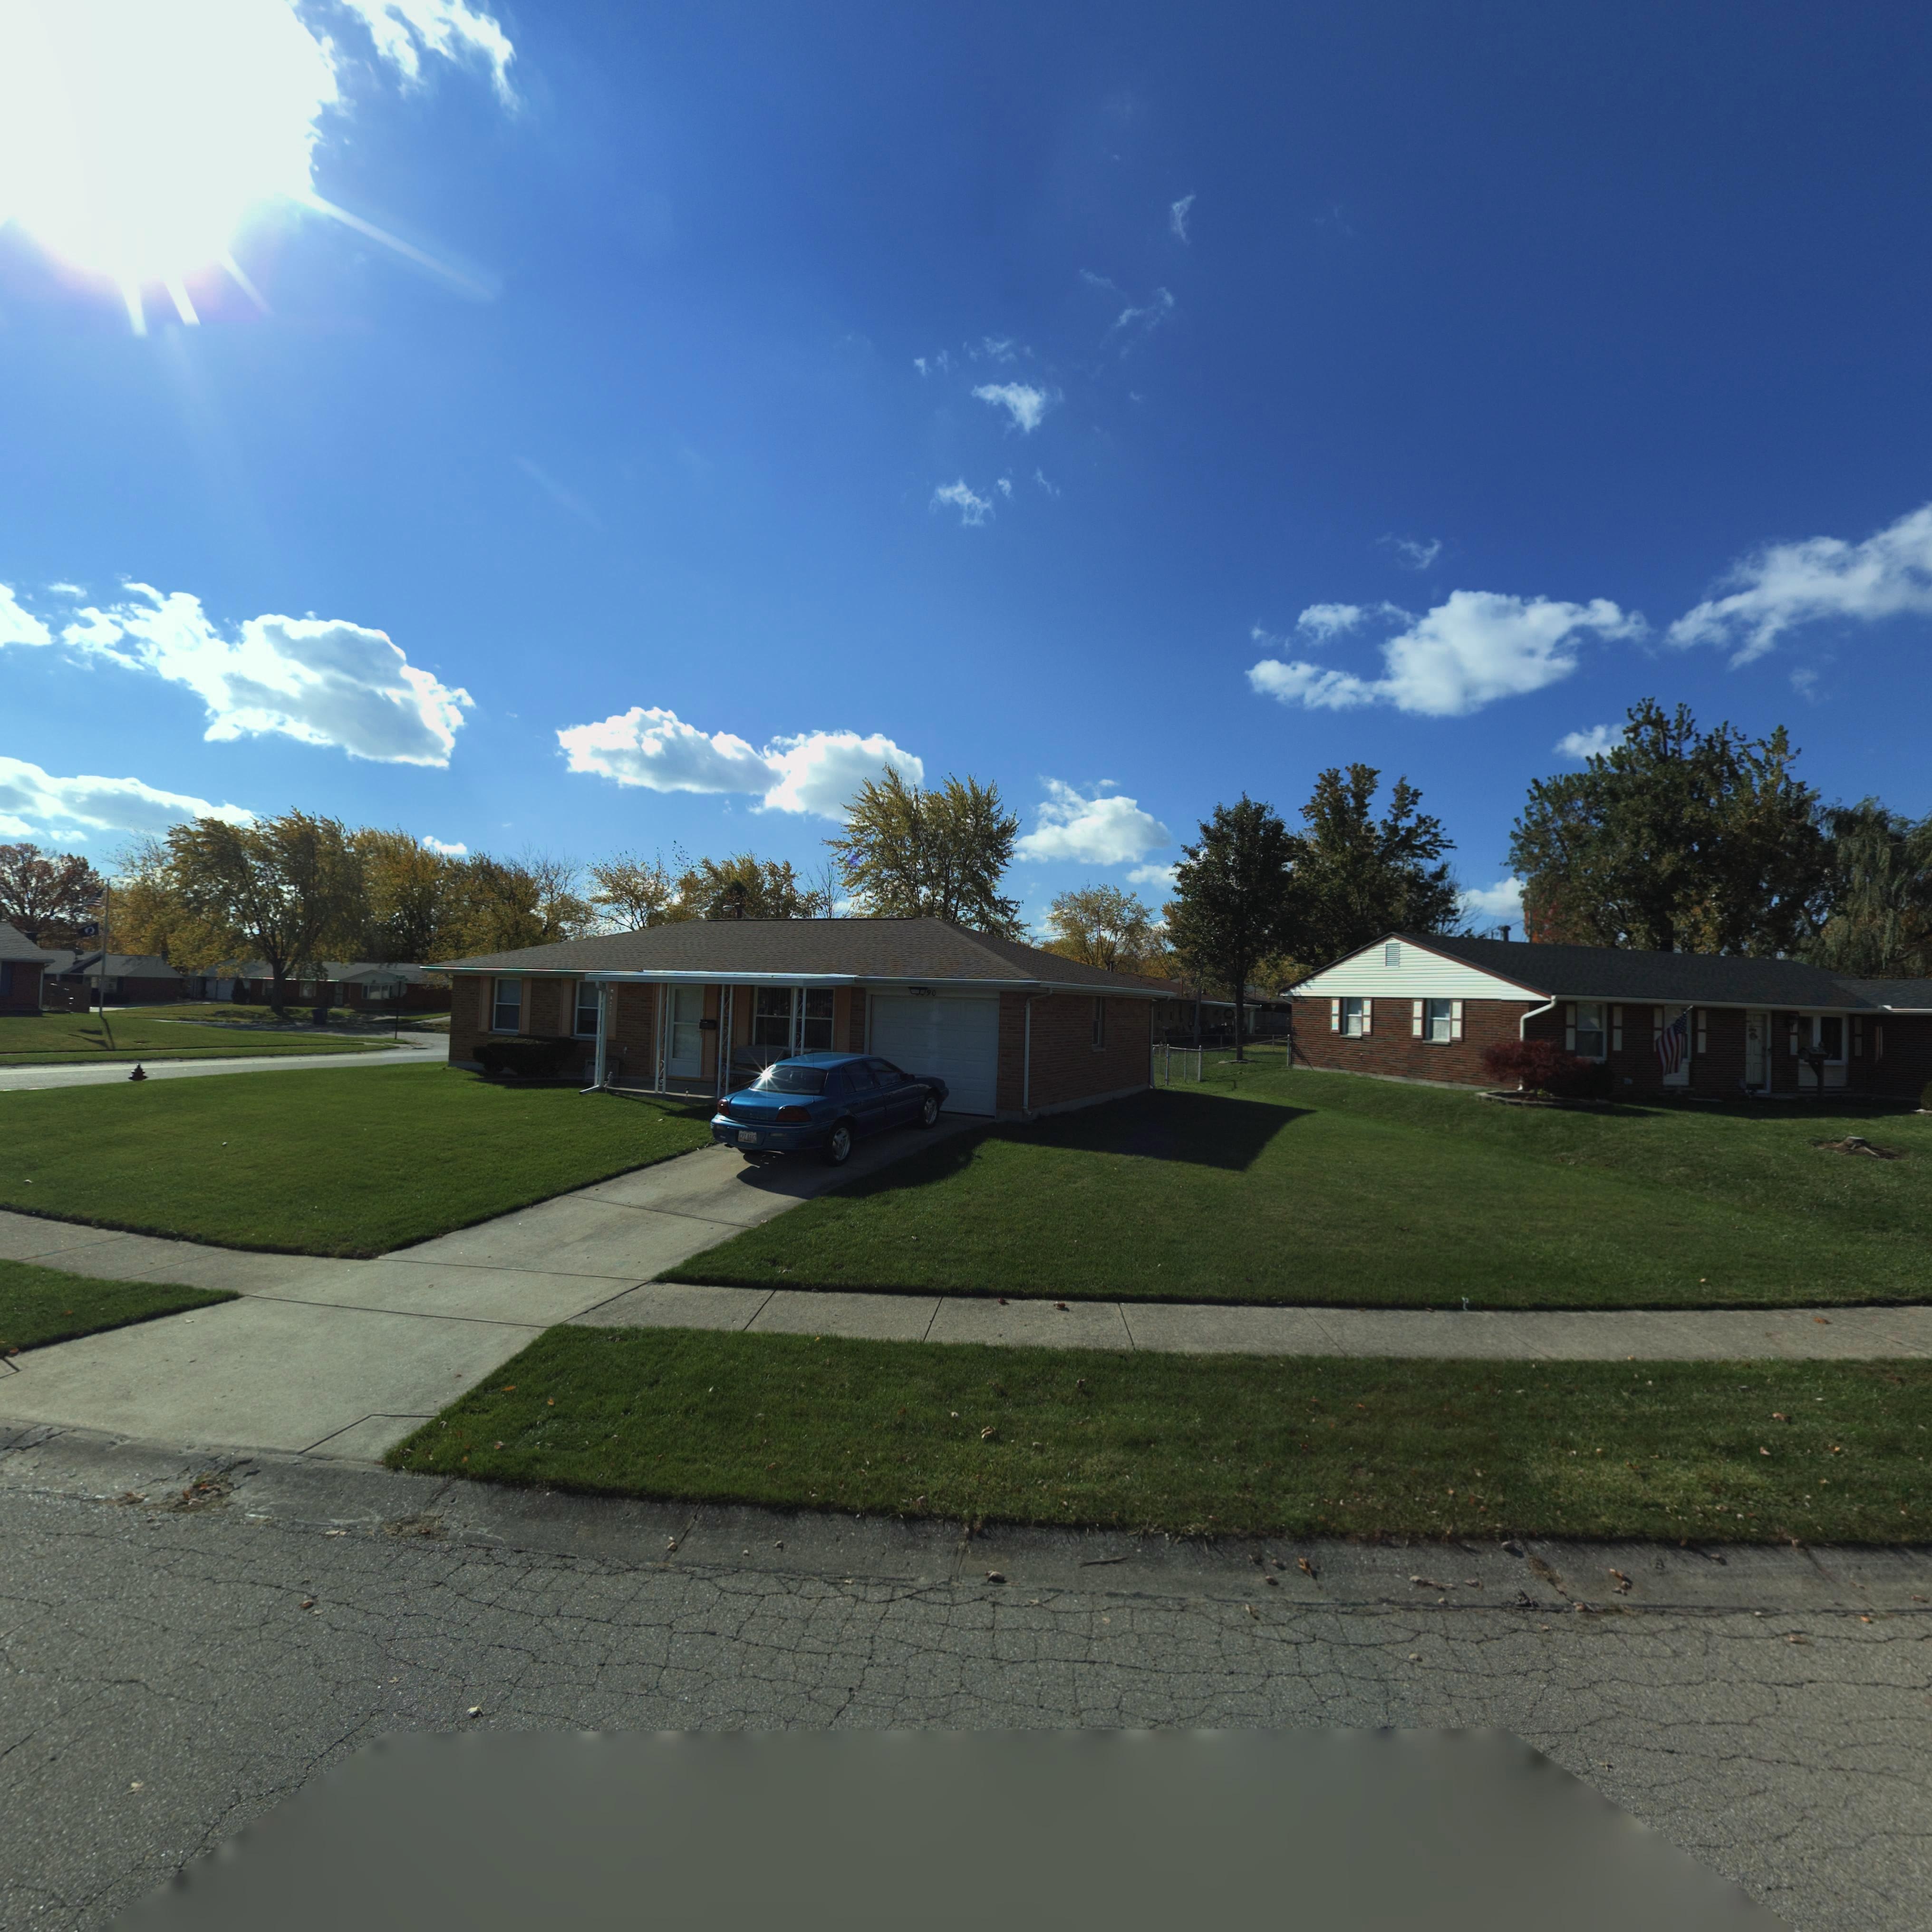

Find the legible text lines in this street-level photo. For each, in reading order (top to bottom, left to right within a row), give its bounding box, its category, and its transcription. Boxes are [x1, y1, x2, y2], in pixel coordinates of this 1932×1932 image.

[925, 988, 937, 998] StreetNumber: 90